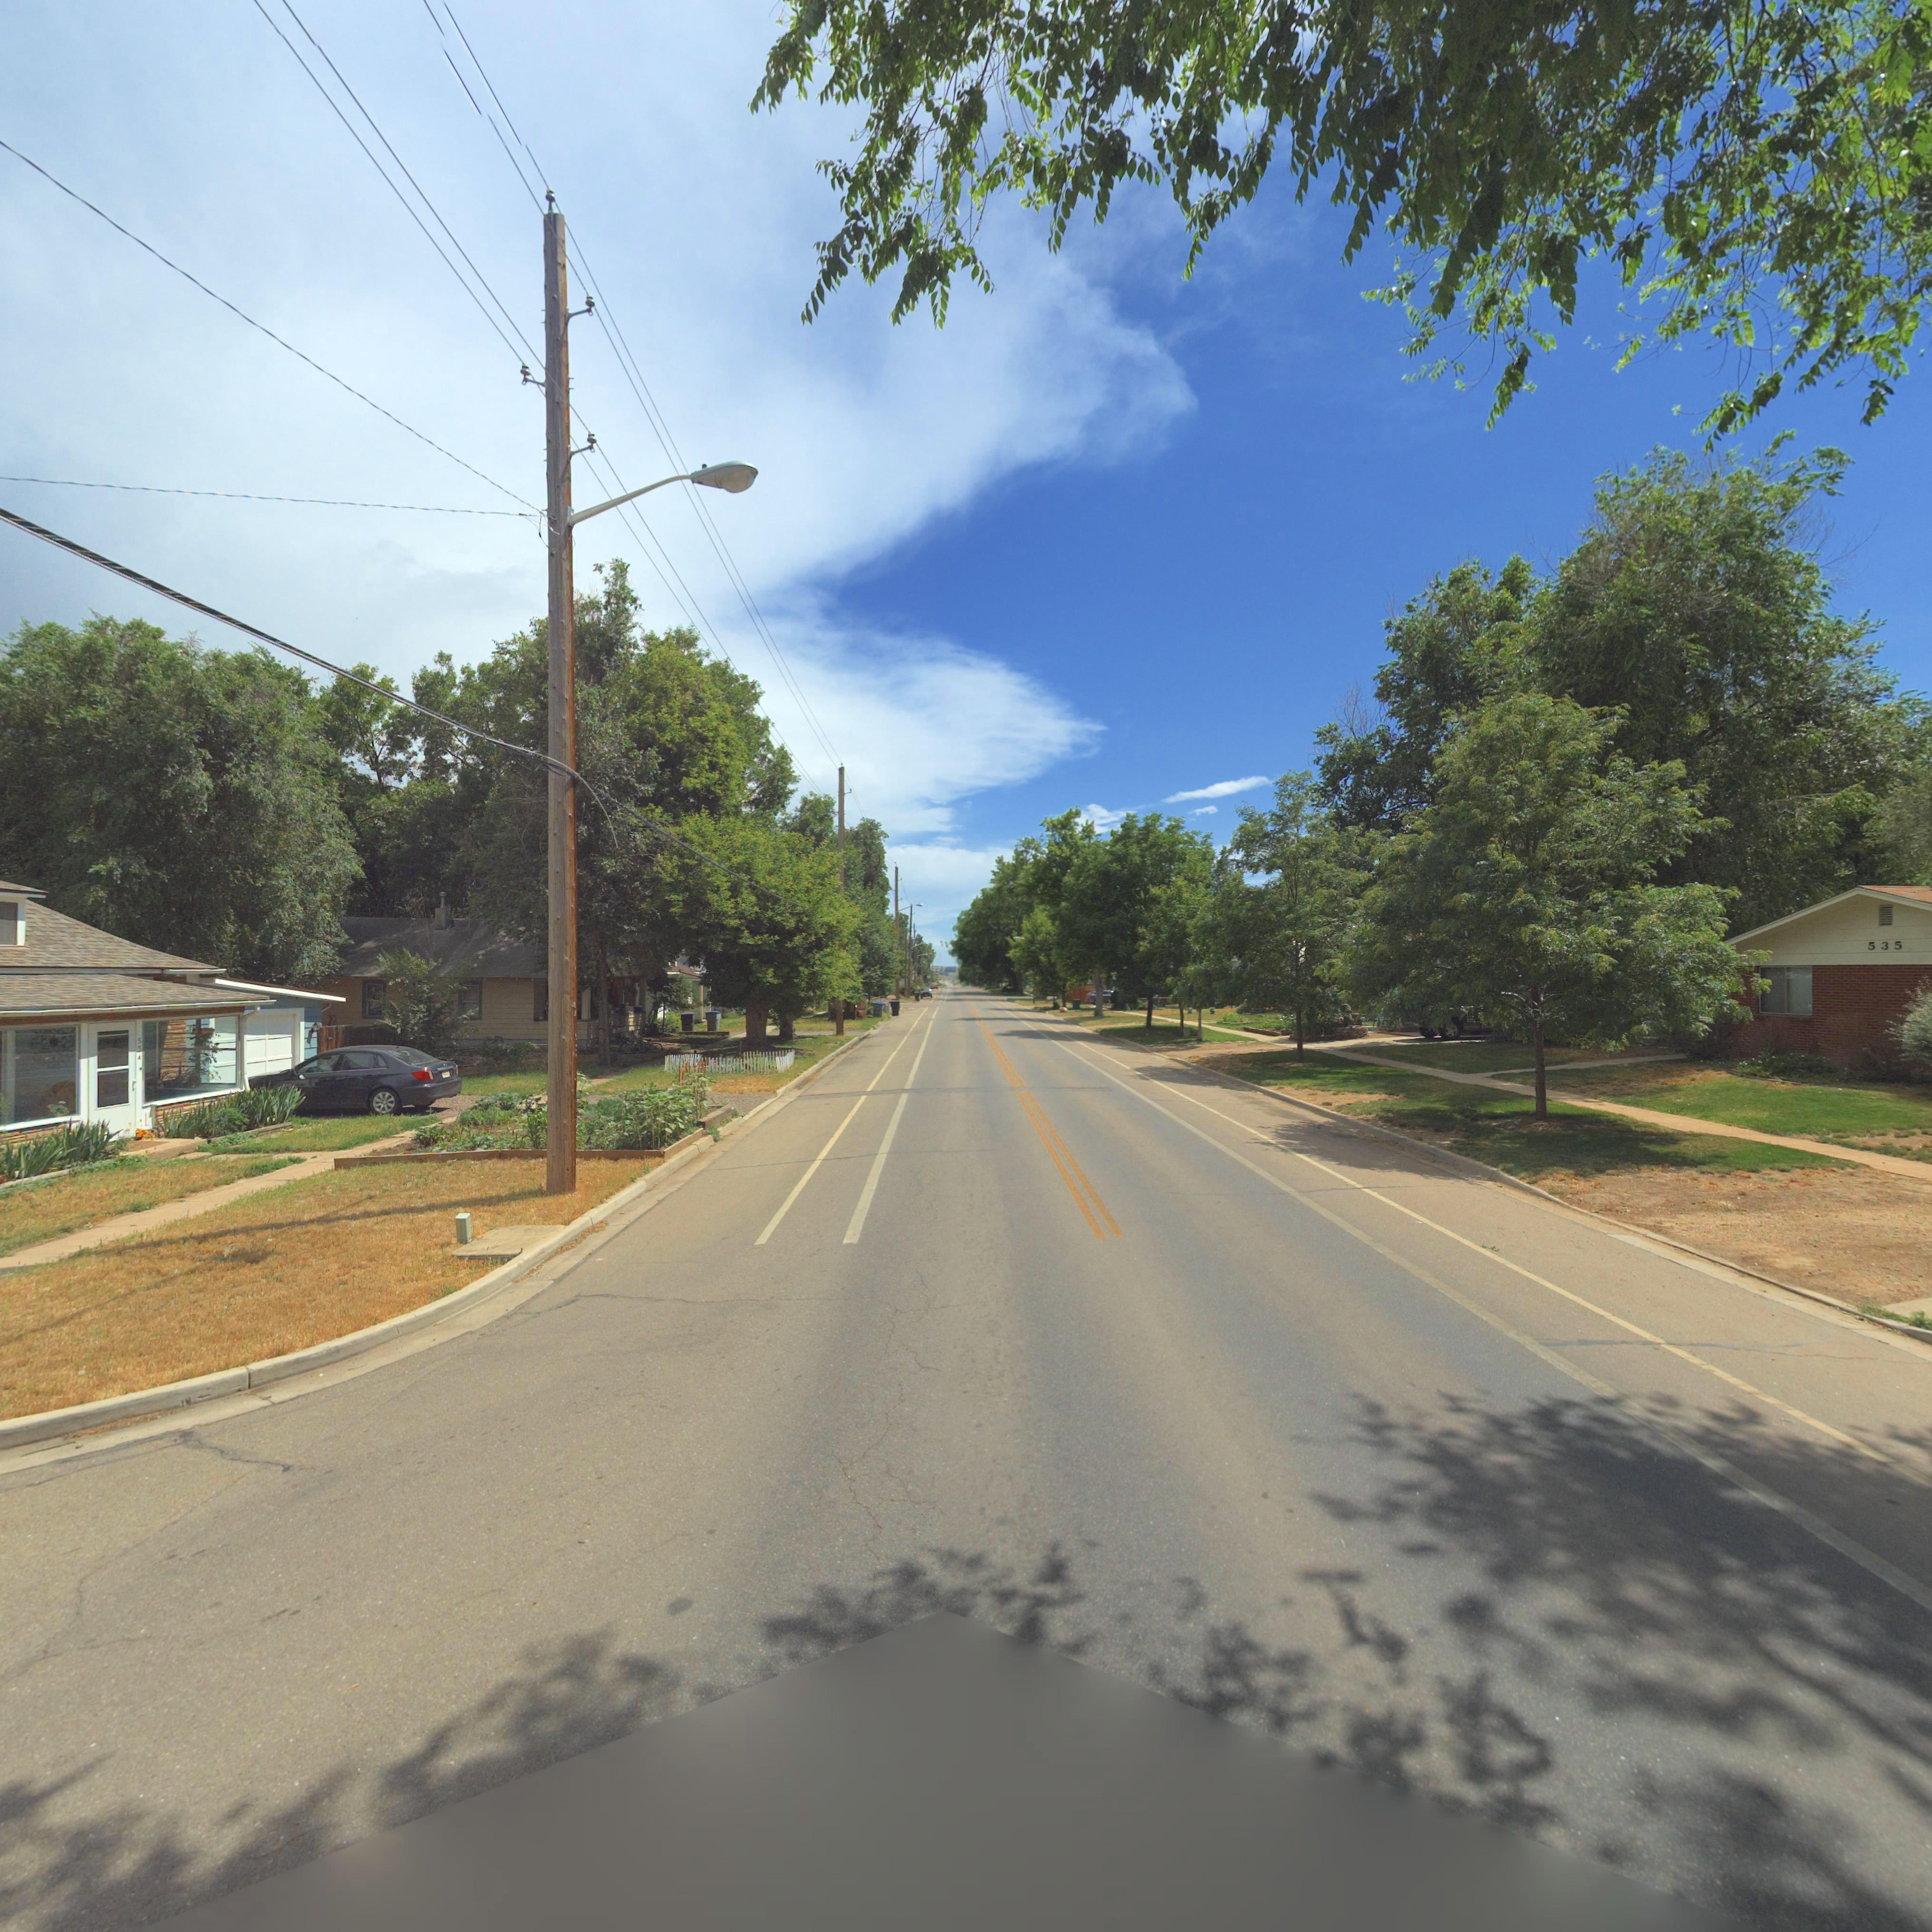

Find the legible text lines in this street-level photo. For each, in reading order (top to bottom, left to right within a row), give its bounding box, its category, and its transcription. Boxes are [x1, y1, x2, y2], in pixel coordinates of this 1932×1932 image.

[1867, 940, 1902, 950] StreetNumber: 535
[137, 1036, 142, 1060] StreetNumber: 534